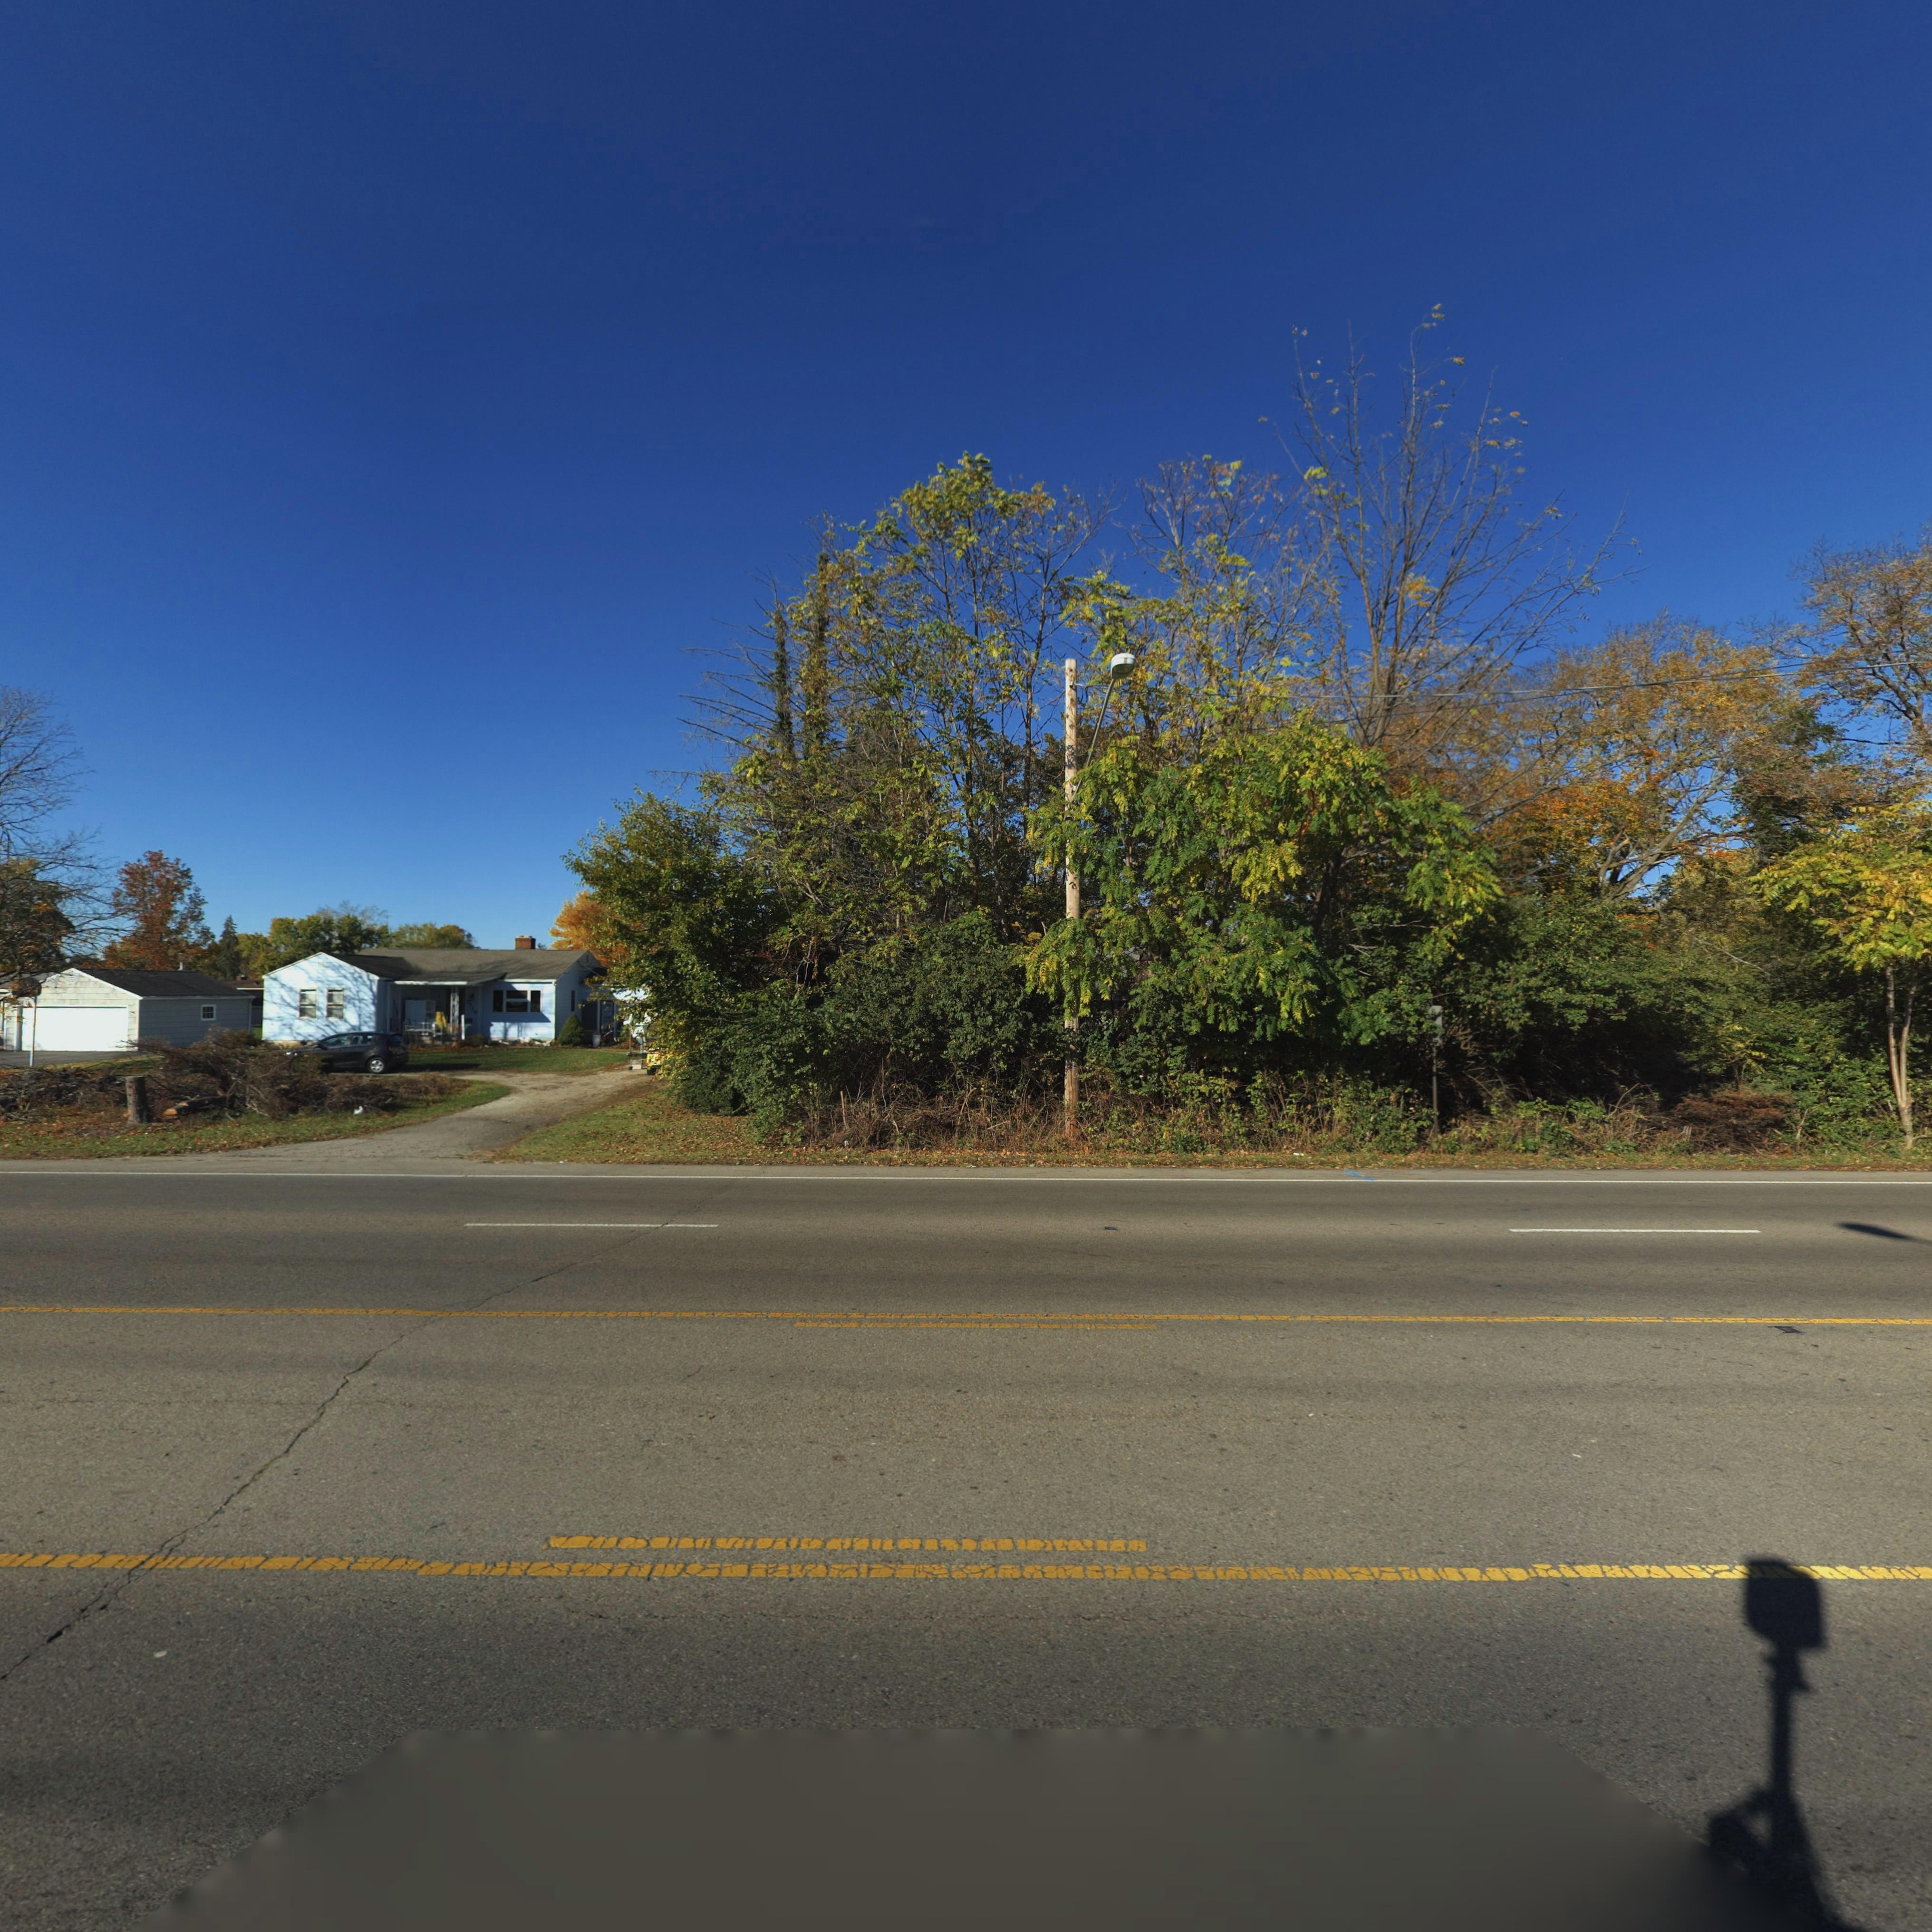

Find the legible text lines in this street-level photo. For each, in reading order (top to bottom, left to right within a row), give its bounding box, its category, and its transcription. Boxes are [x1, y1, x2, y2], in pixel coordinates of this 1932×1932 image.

[465, 999, 478, 1015] StreetNumber: 571*